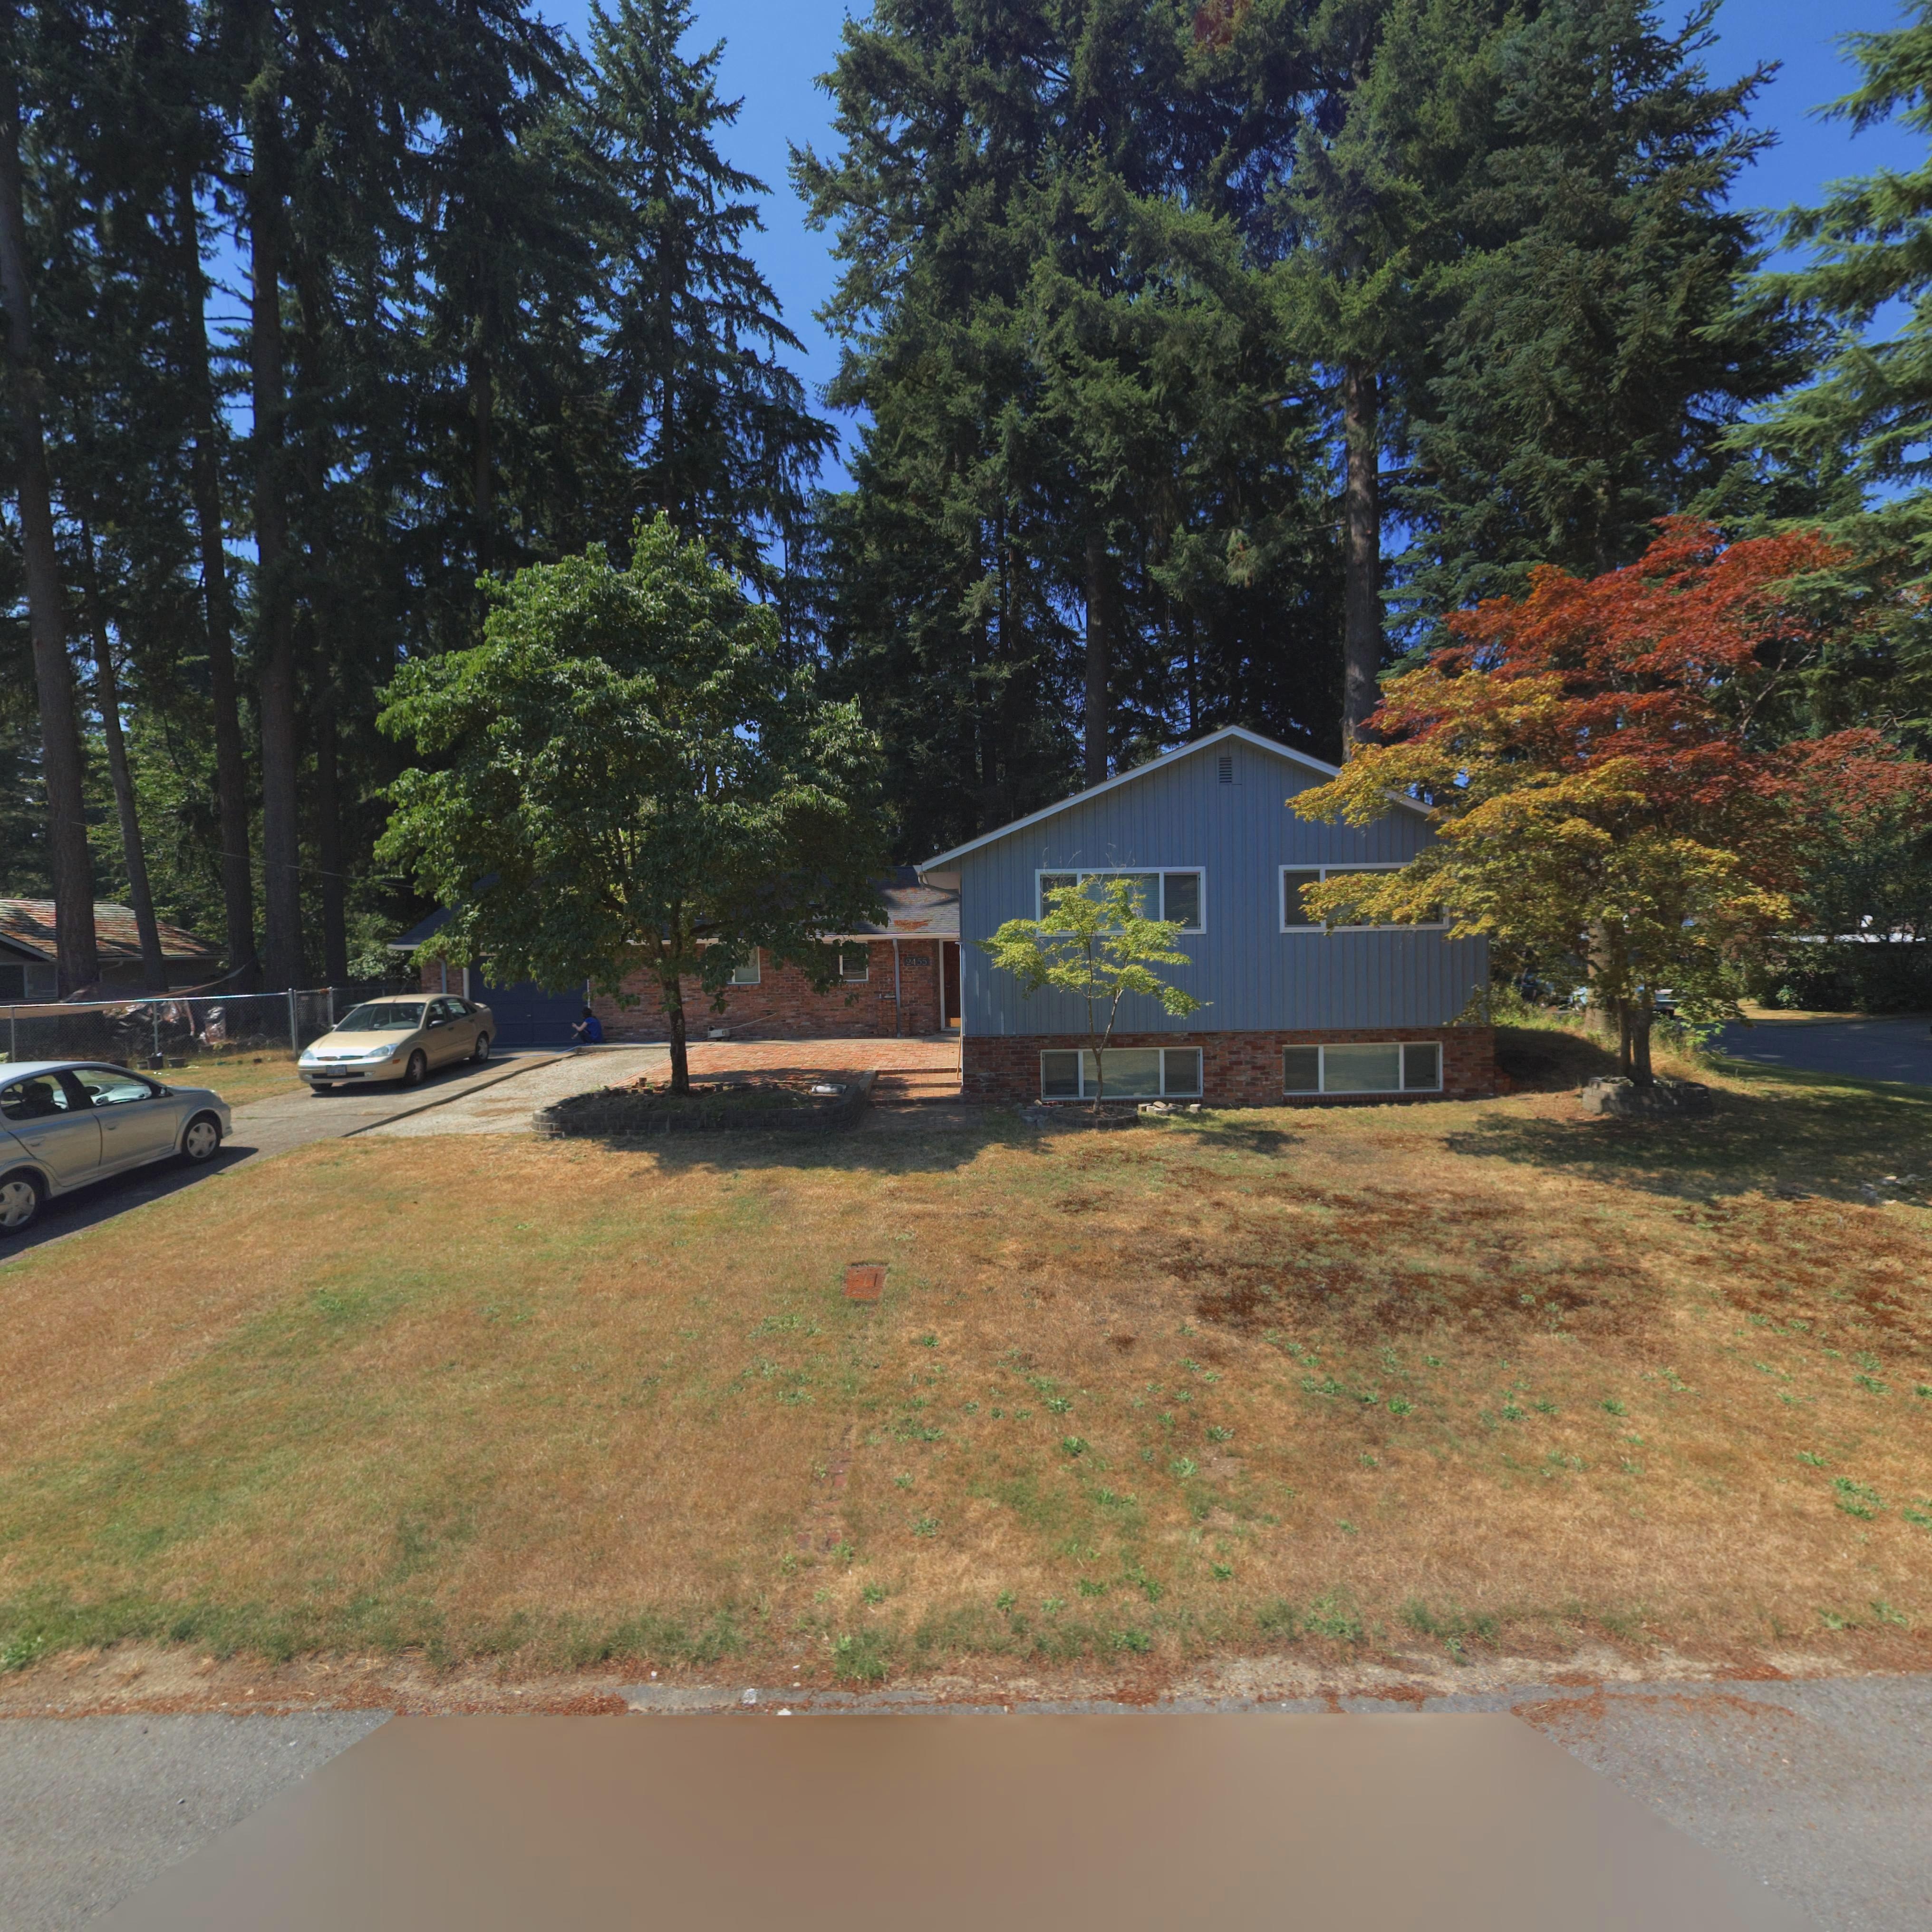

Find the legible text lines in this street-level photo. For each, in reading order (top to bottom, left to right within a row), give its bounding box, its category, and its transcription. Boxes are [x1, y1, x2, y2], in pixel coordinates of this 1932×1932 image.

[906, 957, 927, 966] StreetNumber: 2455